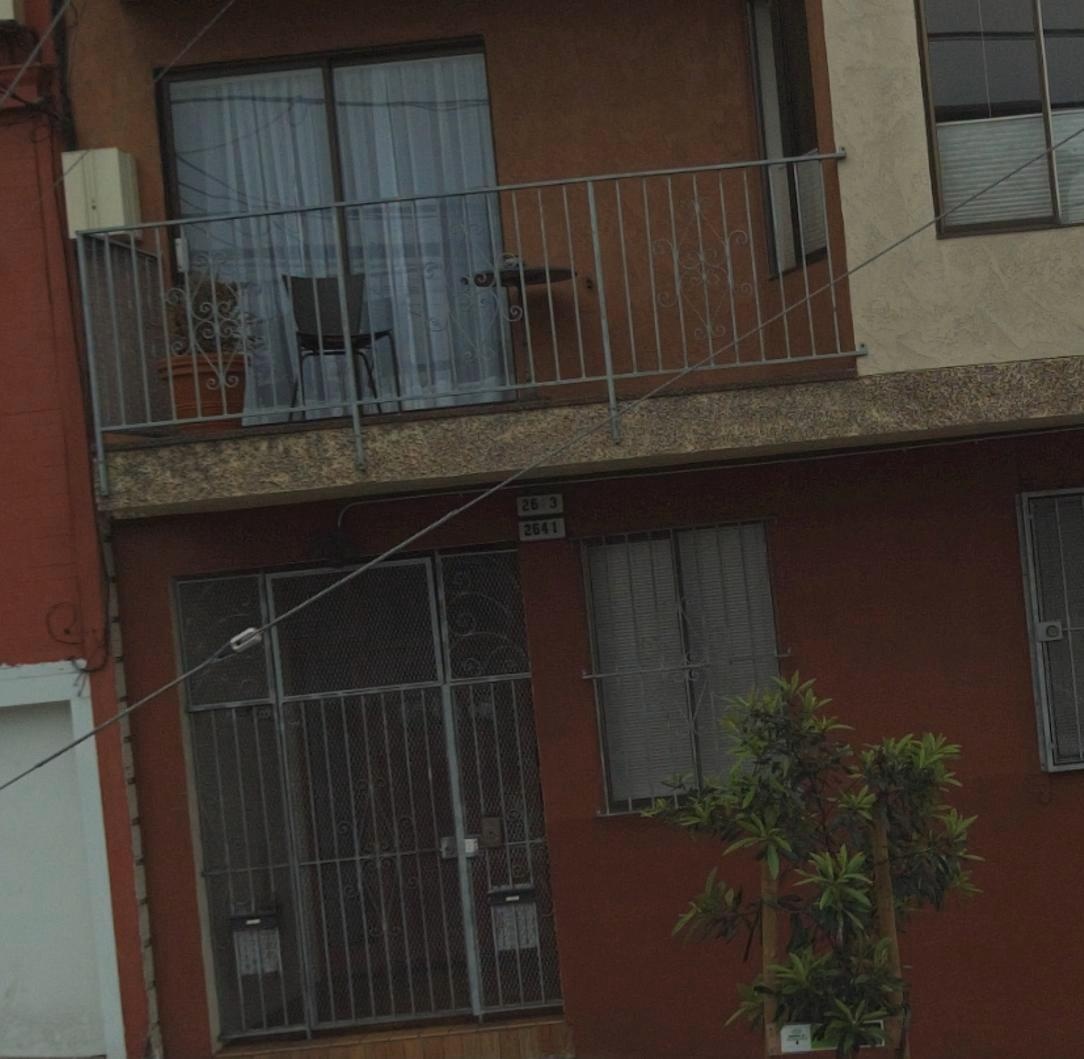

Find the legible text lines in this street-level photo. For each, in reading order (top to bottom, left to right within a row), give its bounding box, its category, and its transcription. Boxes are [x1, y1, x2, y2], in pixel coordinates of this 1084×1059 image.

[520, 495, 559, 513] StreetNumber: 26*3
[521, 519, 559, 538] StreetNumber: 2641